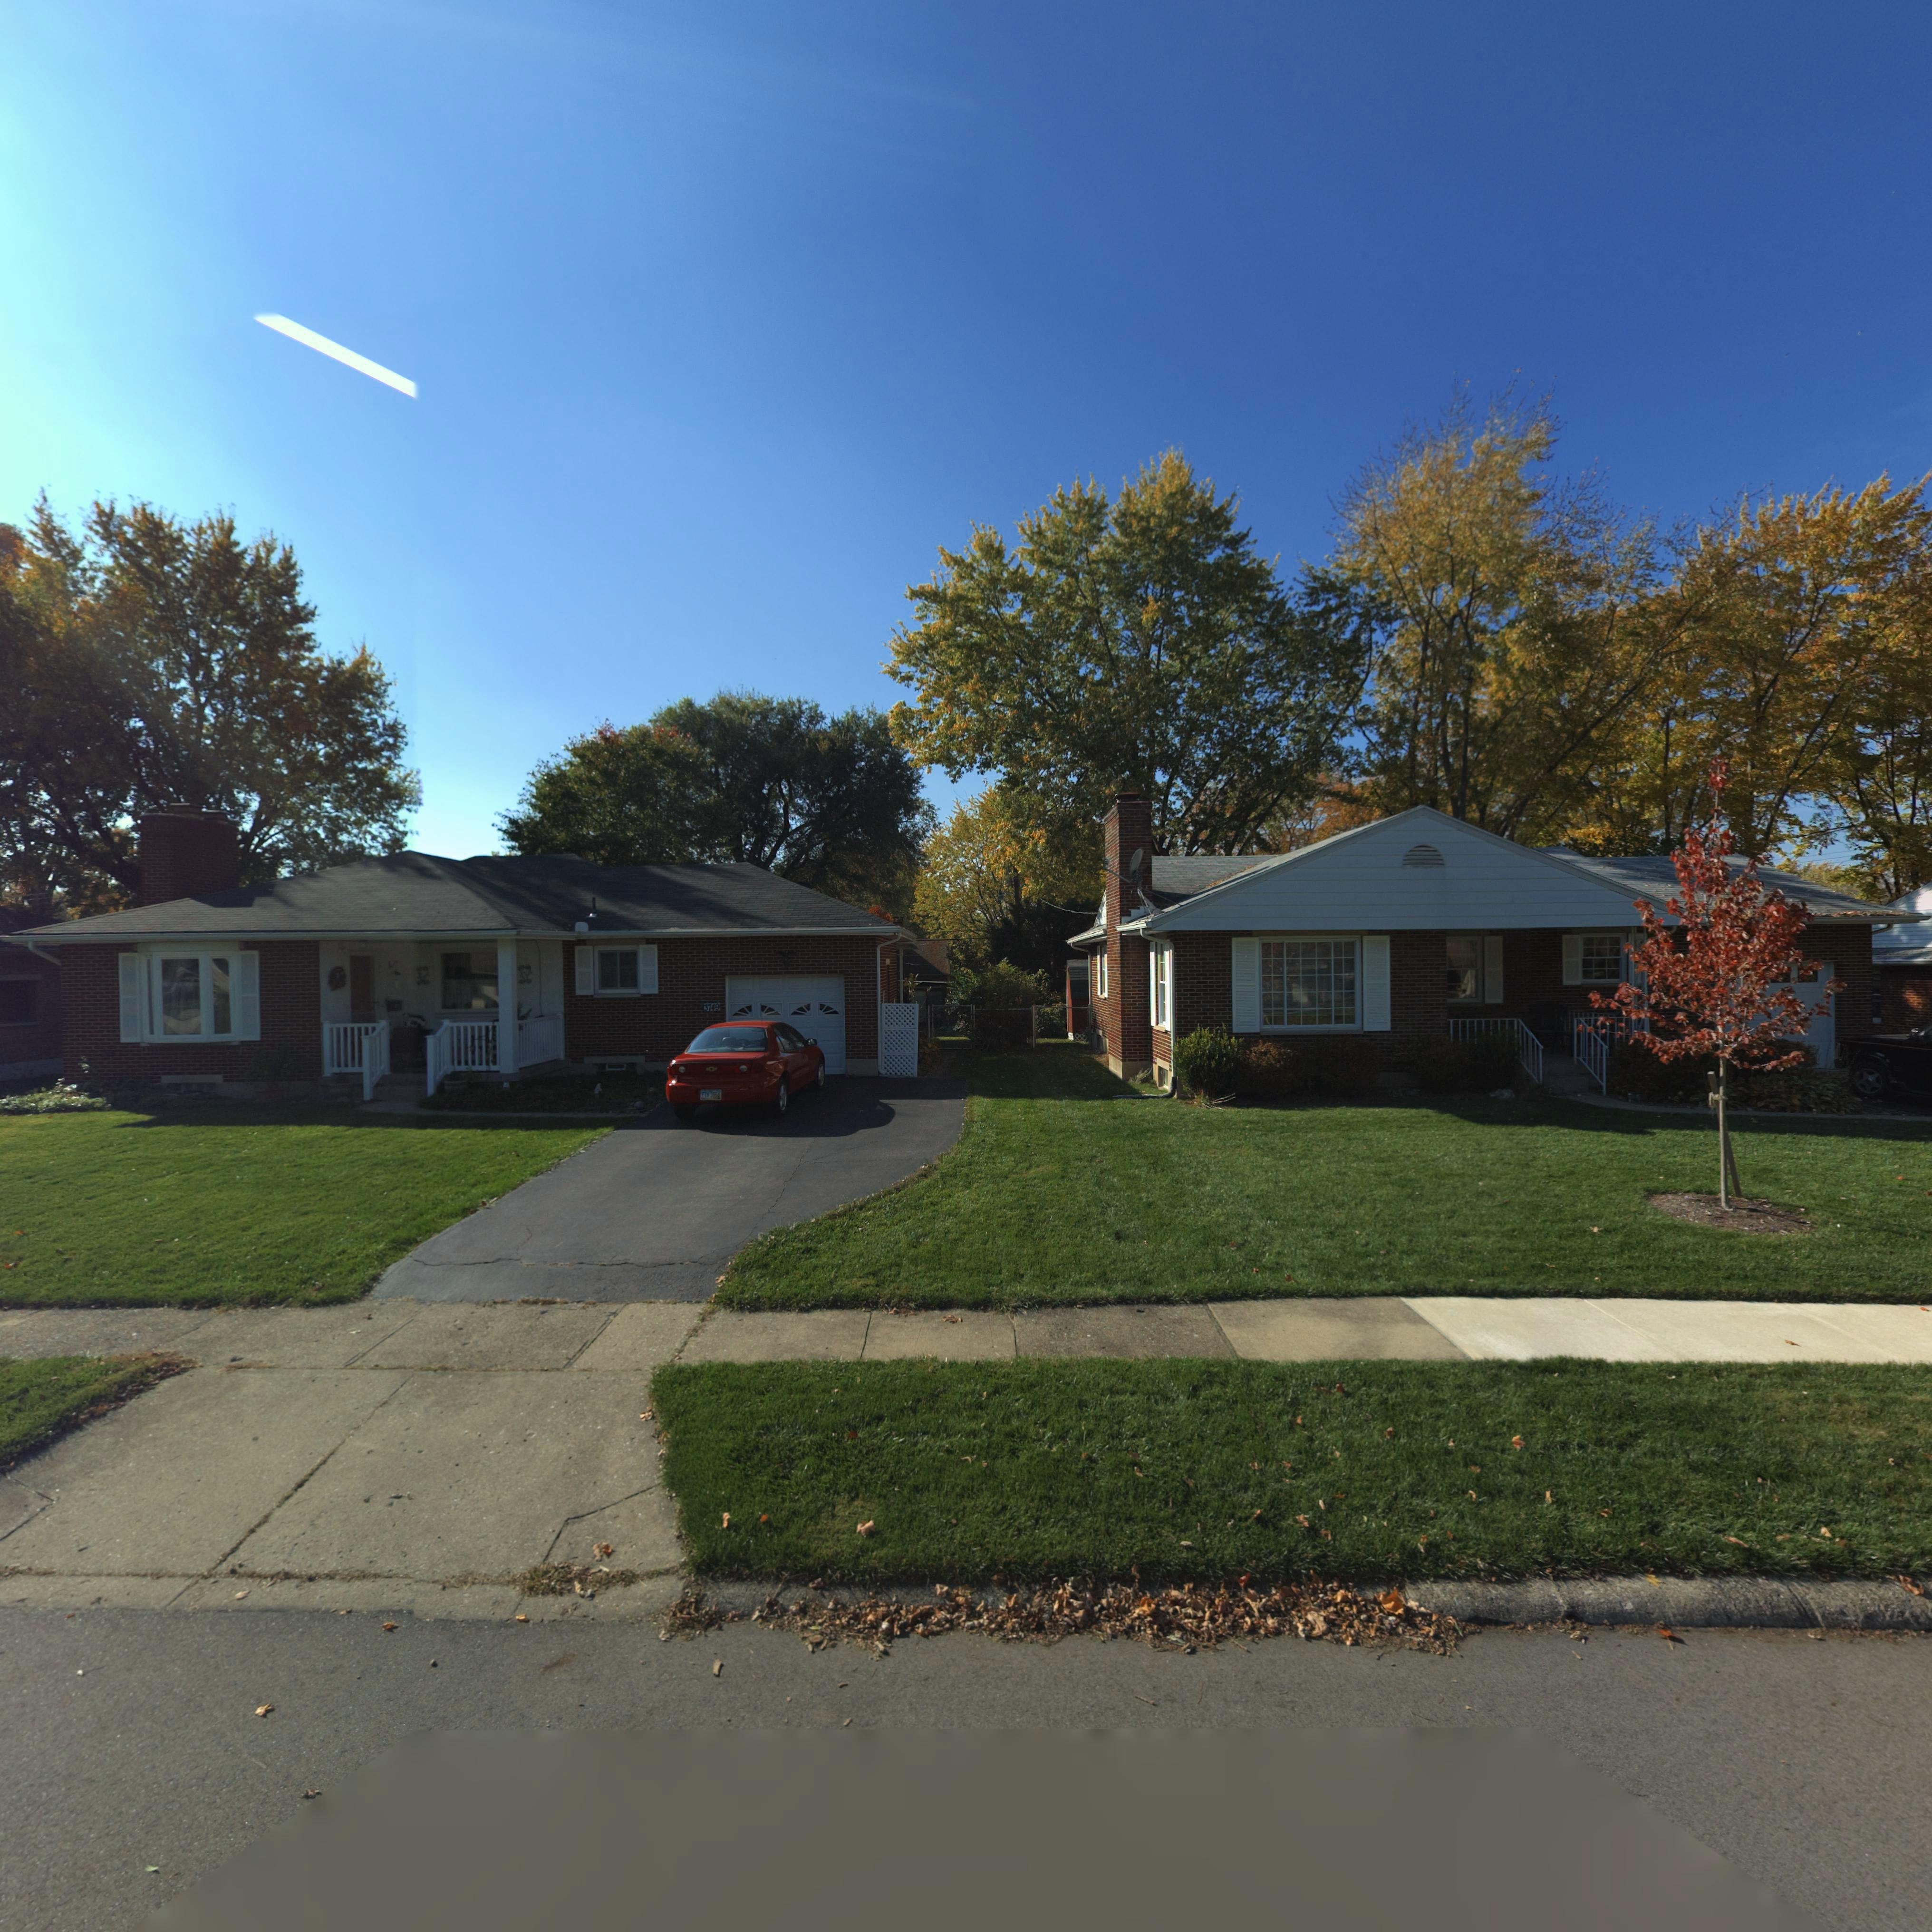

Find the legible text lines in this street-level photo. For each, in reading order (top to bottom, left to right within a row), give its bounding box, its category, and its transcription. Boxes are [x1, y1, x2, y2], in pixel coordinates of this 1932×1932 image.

[703, 1003, 720, 1012] StreetNumber: 3749